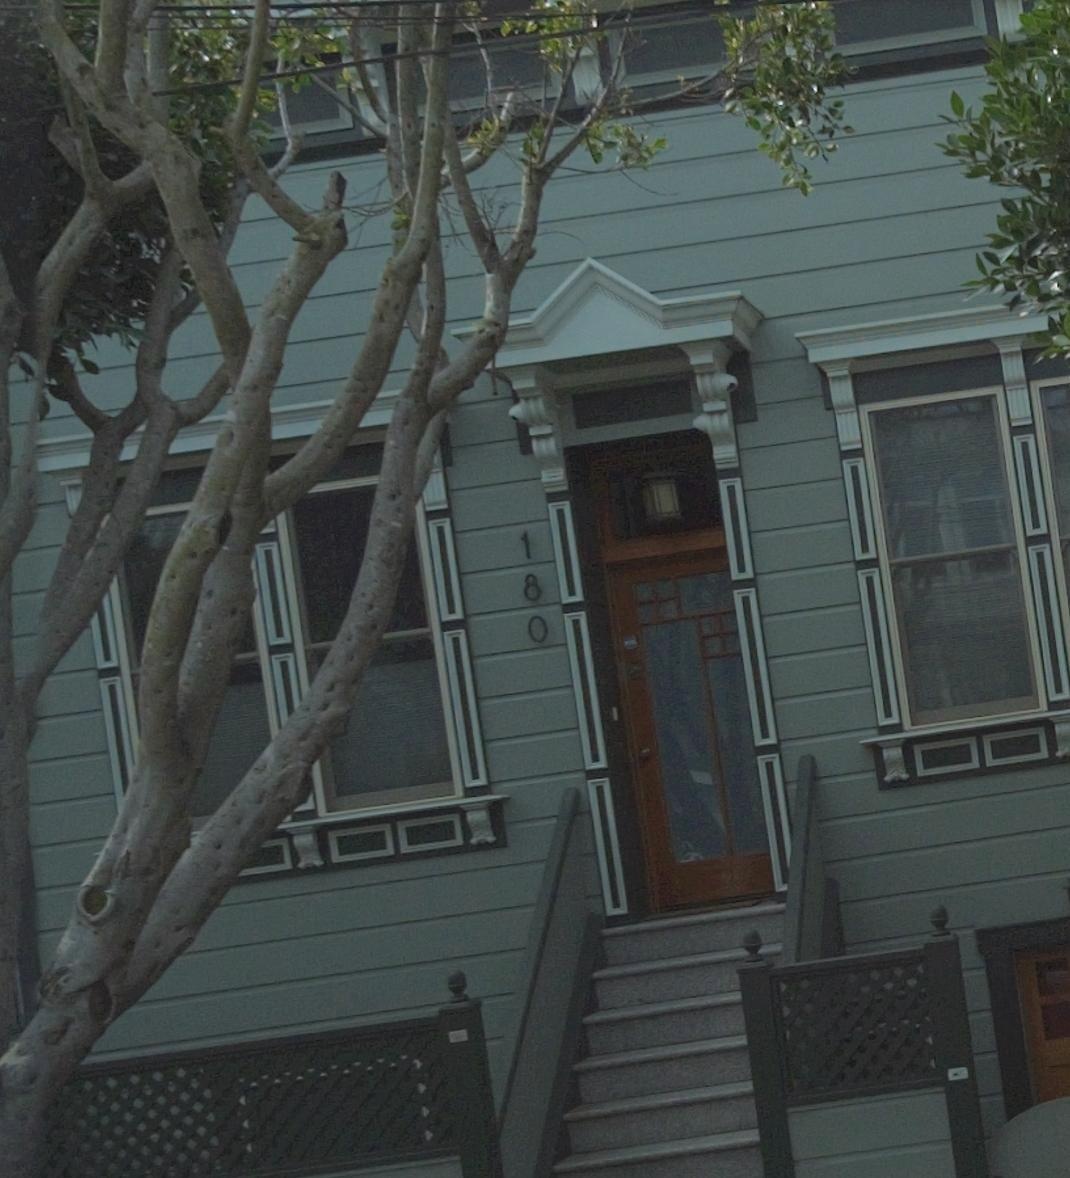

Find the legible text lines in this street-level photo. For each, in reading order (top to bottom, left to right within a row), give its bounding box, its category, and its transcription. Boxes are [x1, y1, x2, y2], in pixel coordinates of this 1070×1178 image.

[519, 529, 550, 644] StreetNumber: 180